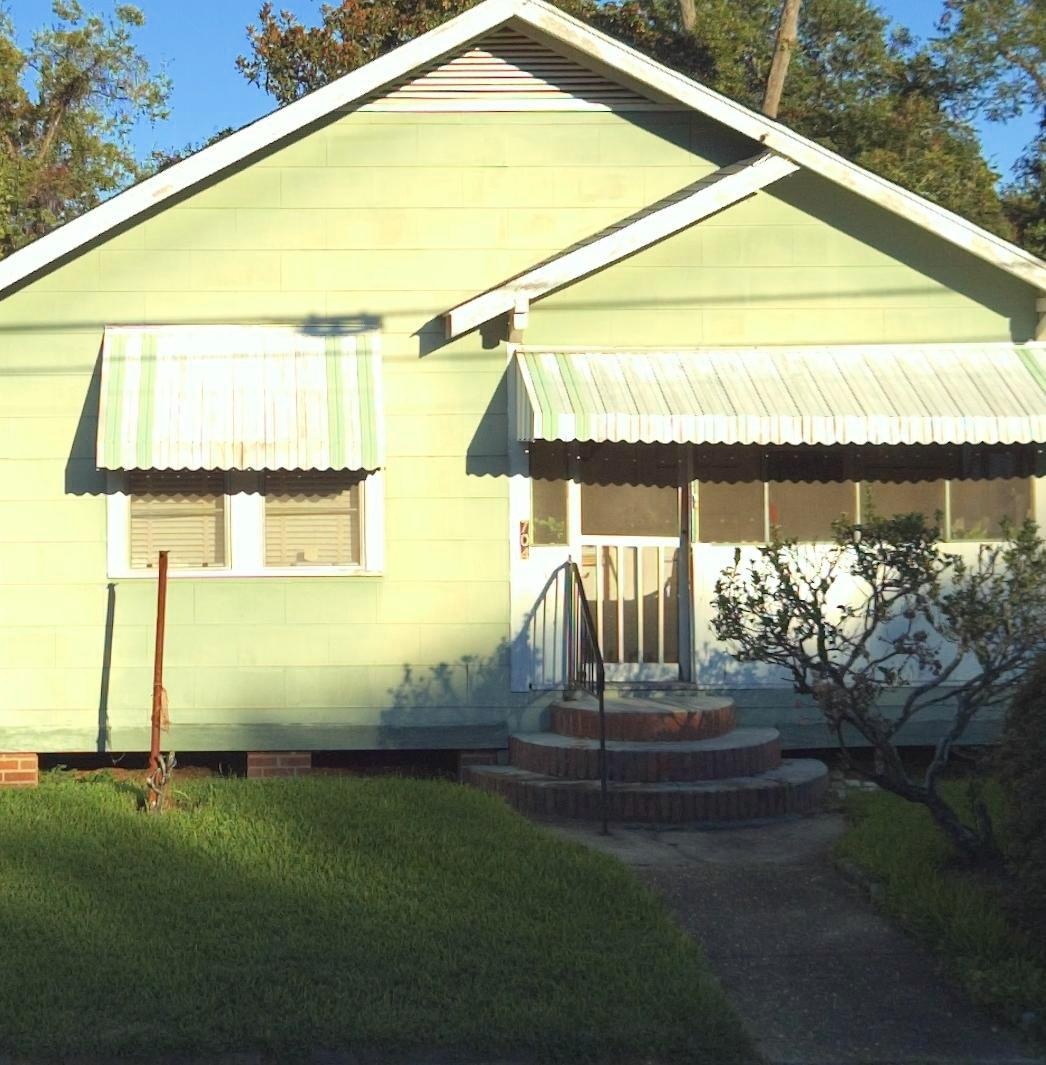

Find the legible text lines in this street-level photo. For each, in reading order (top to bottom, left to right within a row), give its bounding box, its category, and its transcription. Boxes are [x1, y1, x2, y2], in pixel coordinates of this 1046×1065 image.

[519, 519, 530, 561] StreetNumber: 704